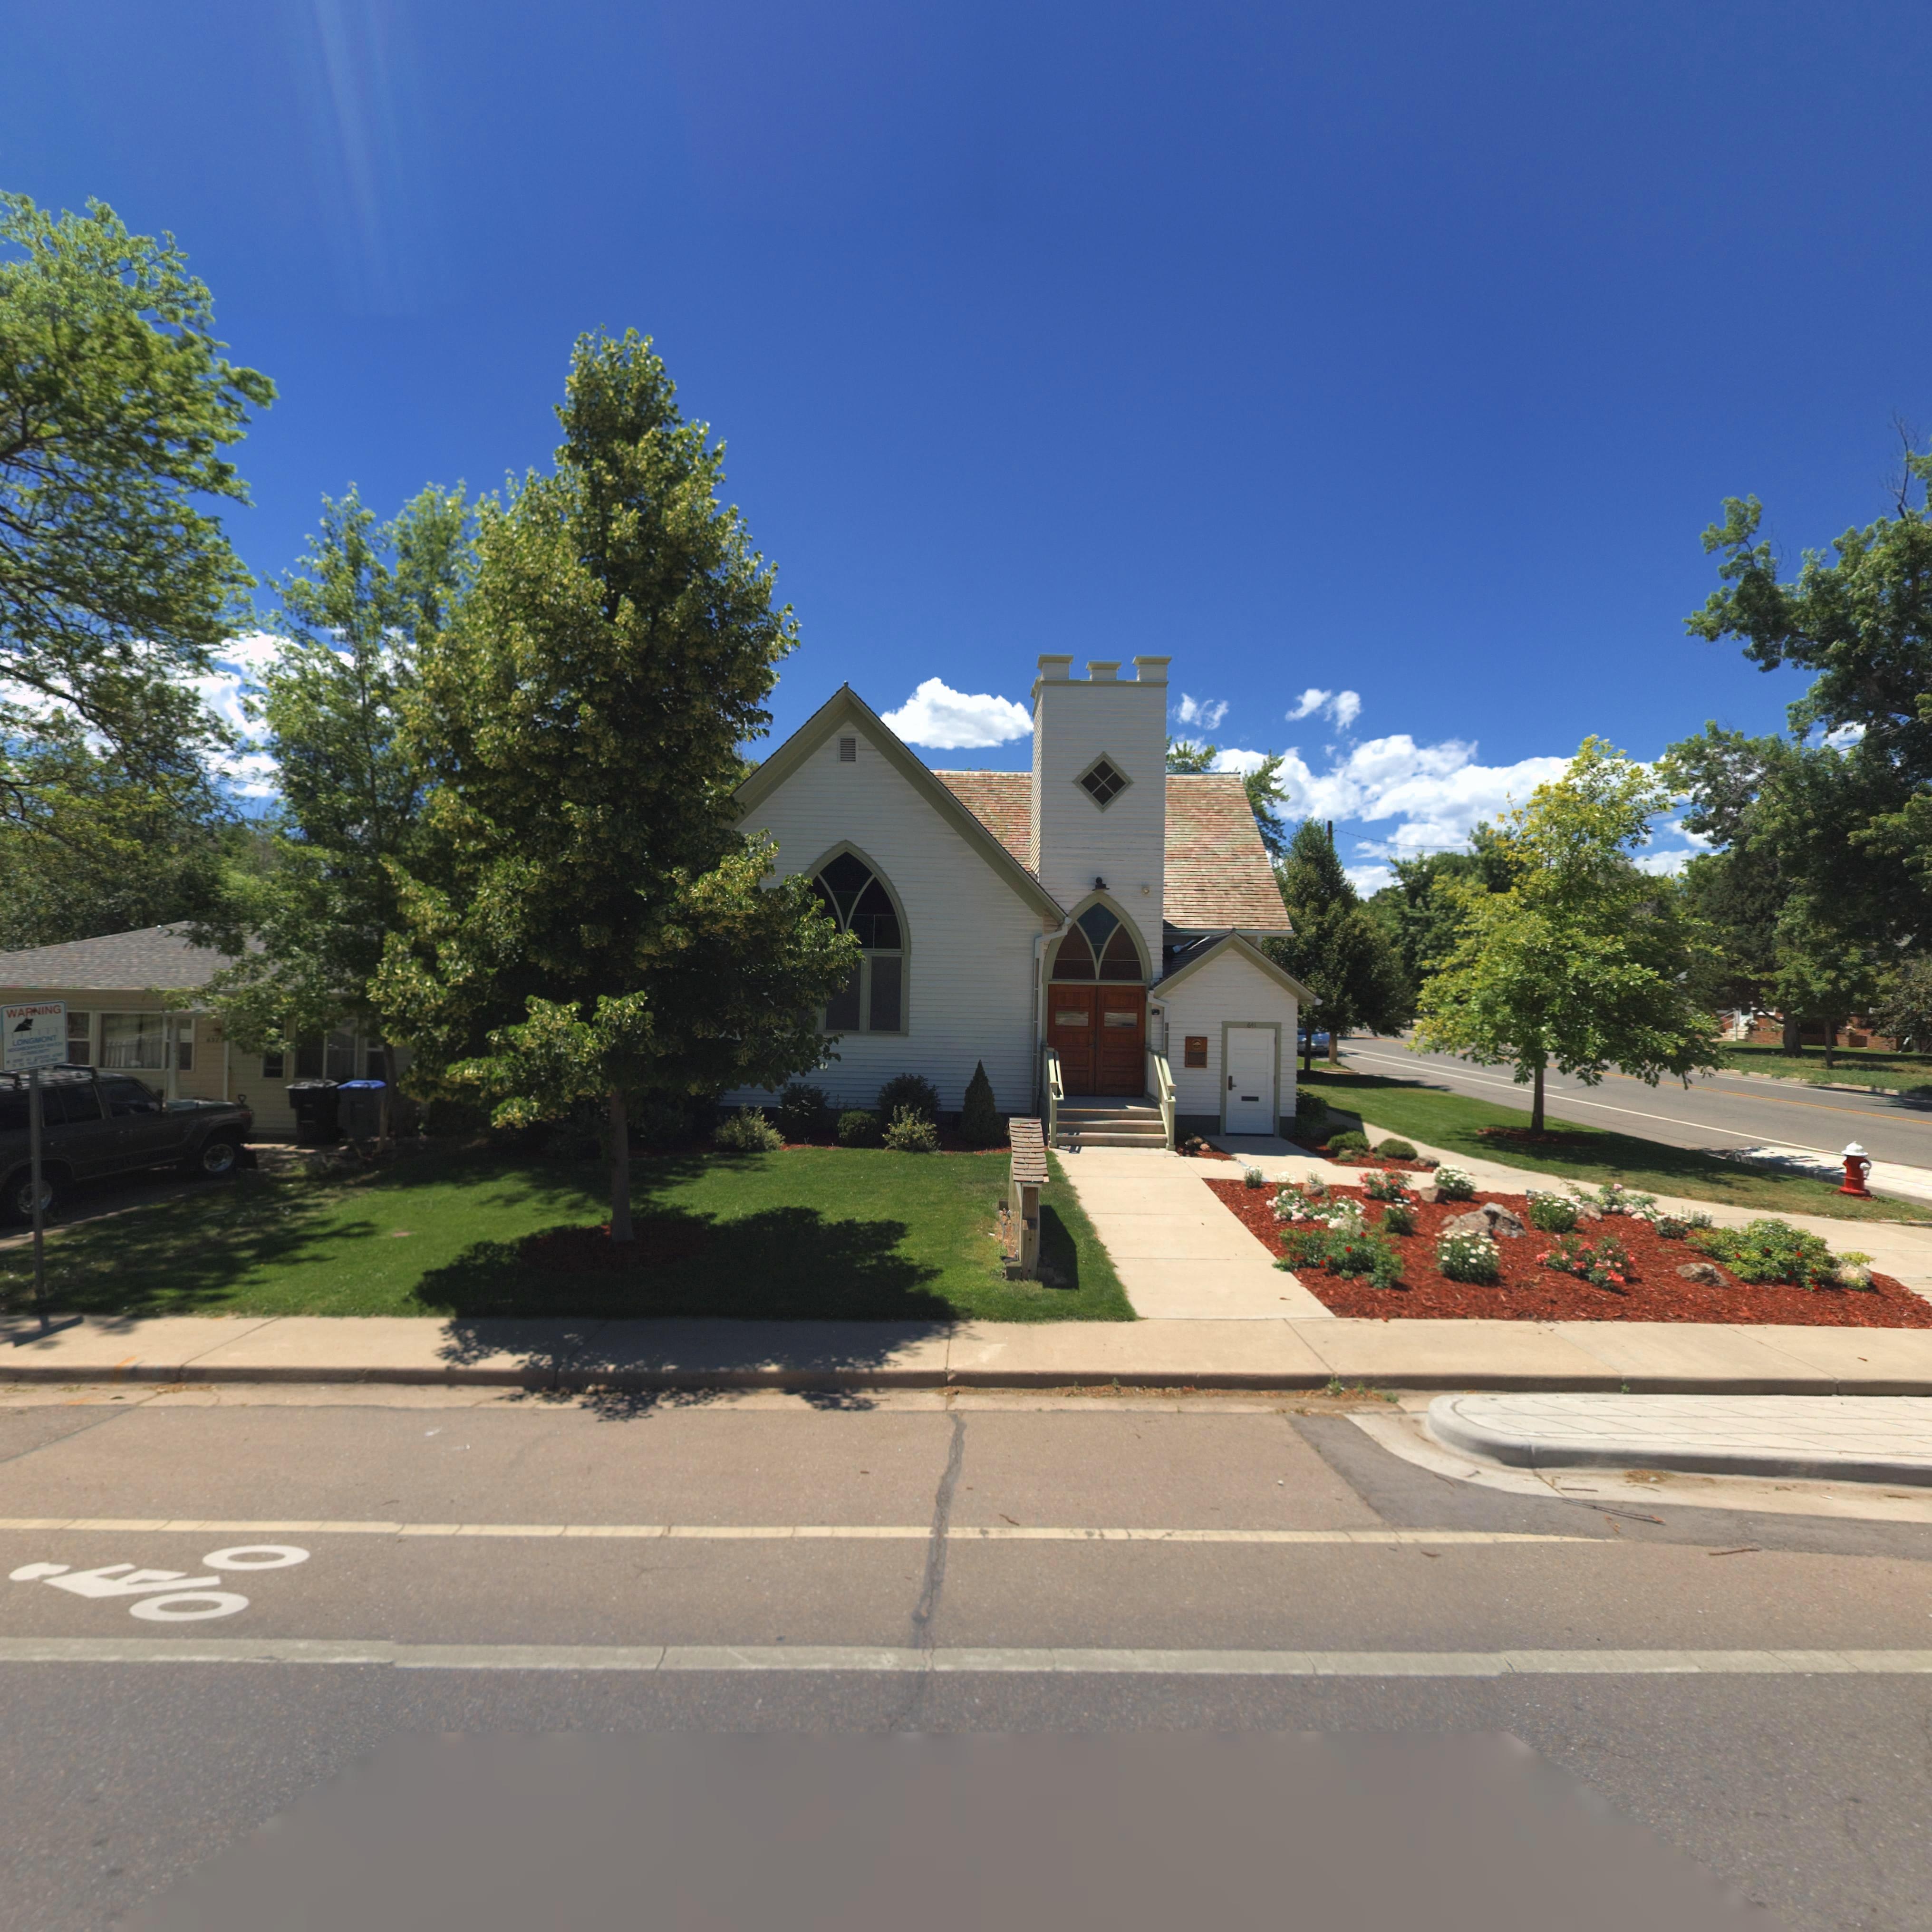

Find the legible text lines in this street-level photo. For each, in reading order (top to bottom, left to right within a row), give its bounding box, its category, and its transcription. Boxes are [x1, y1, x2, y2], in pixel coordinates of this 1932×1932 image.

[1246, 1022, 1256, 1028] StreetNumber: 641
[205, 1036, 220, 1043] StreetNumber: *37